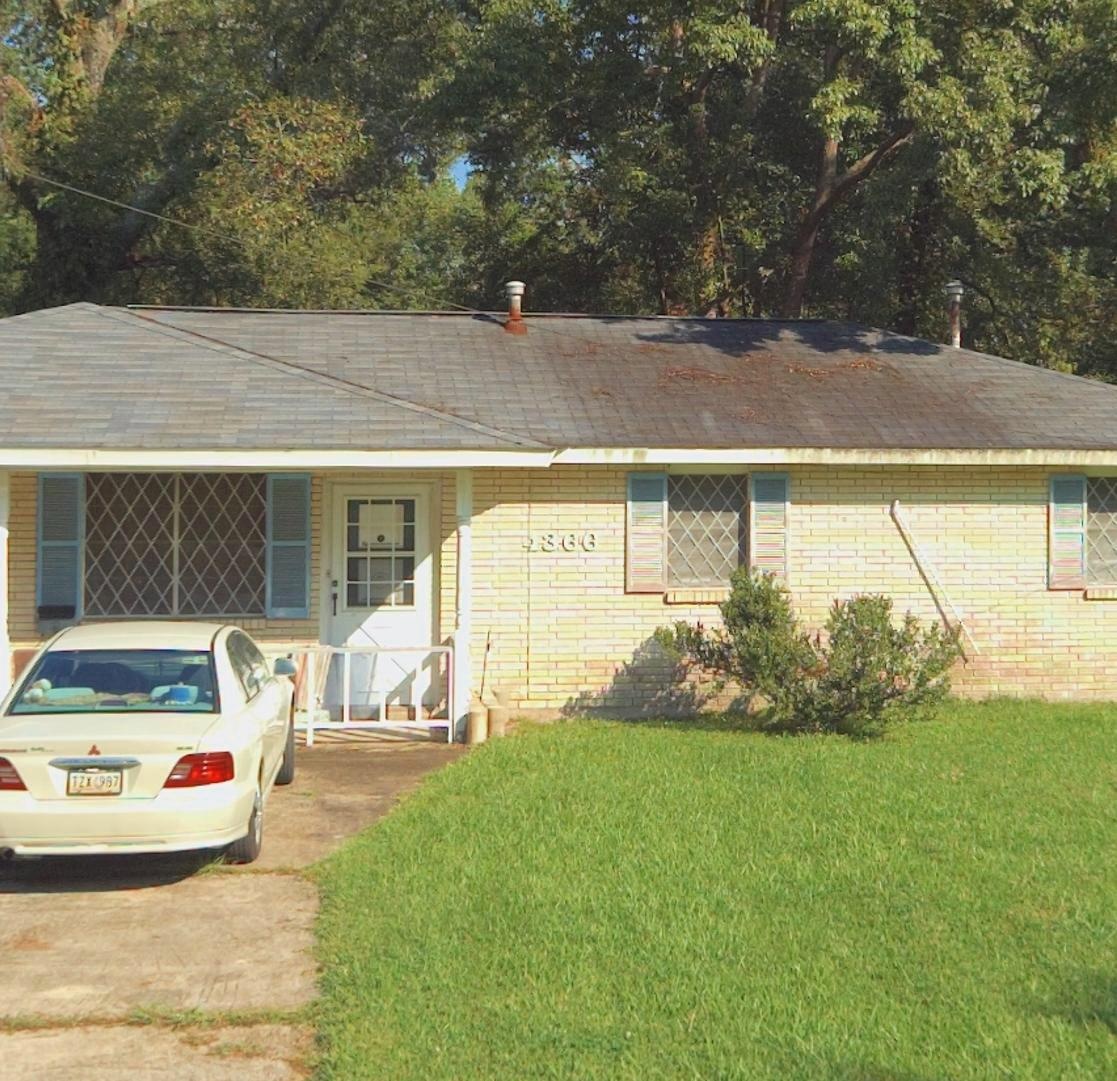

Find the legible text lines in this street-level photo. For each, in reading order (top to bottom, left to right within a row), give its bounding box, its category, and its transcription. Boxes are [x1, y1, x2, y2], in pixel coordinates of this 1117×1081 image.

[522, 532, 598, 552] StreetNumber: 4366
[72, 775, 120, 788] None: TZX*987